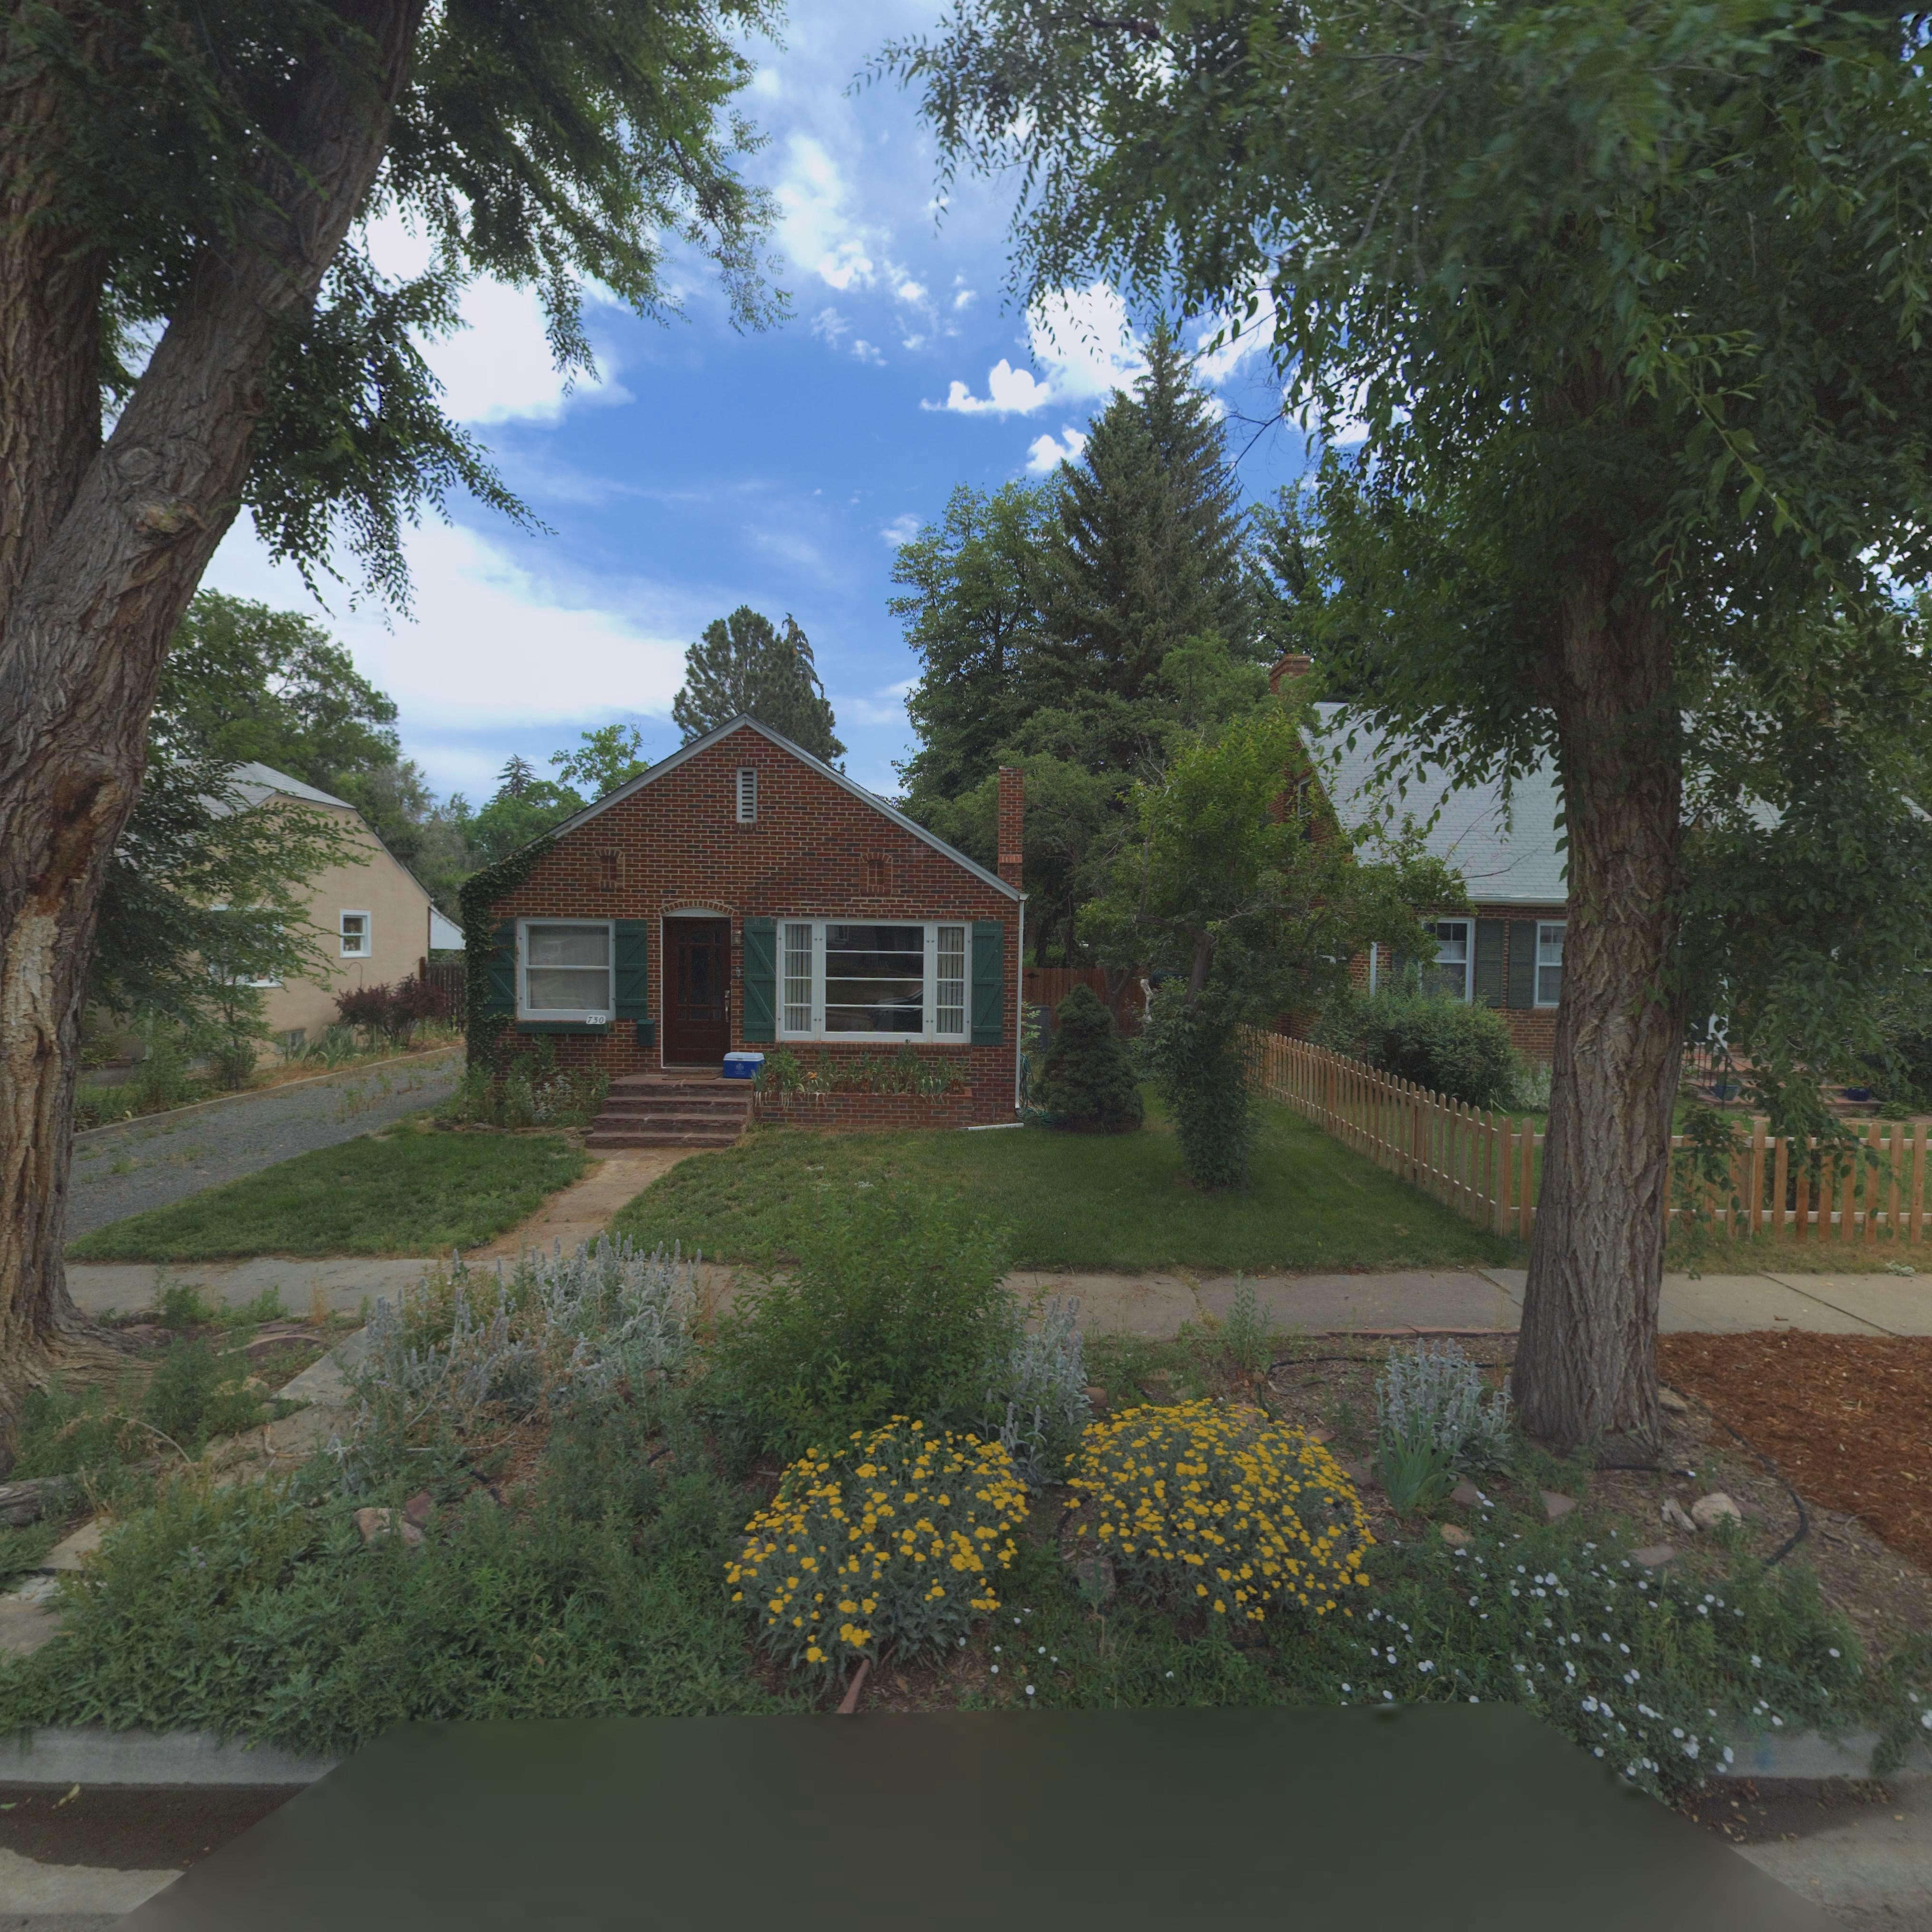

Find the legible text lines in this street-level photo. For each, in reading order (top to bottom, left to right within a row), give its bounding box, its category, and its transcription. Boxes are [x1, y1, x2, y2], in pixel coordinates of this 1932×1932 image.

[587, 1016, 604, 1024] StreetNumber: 730